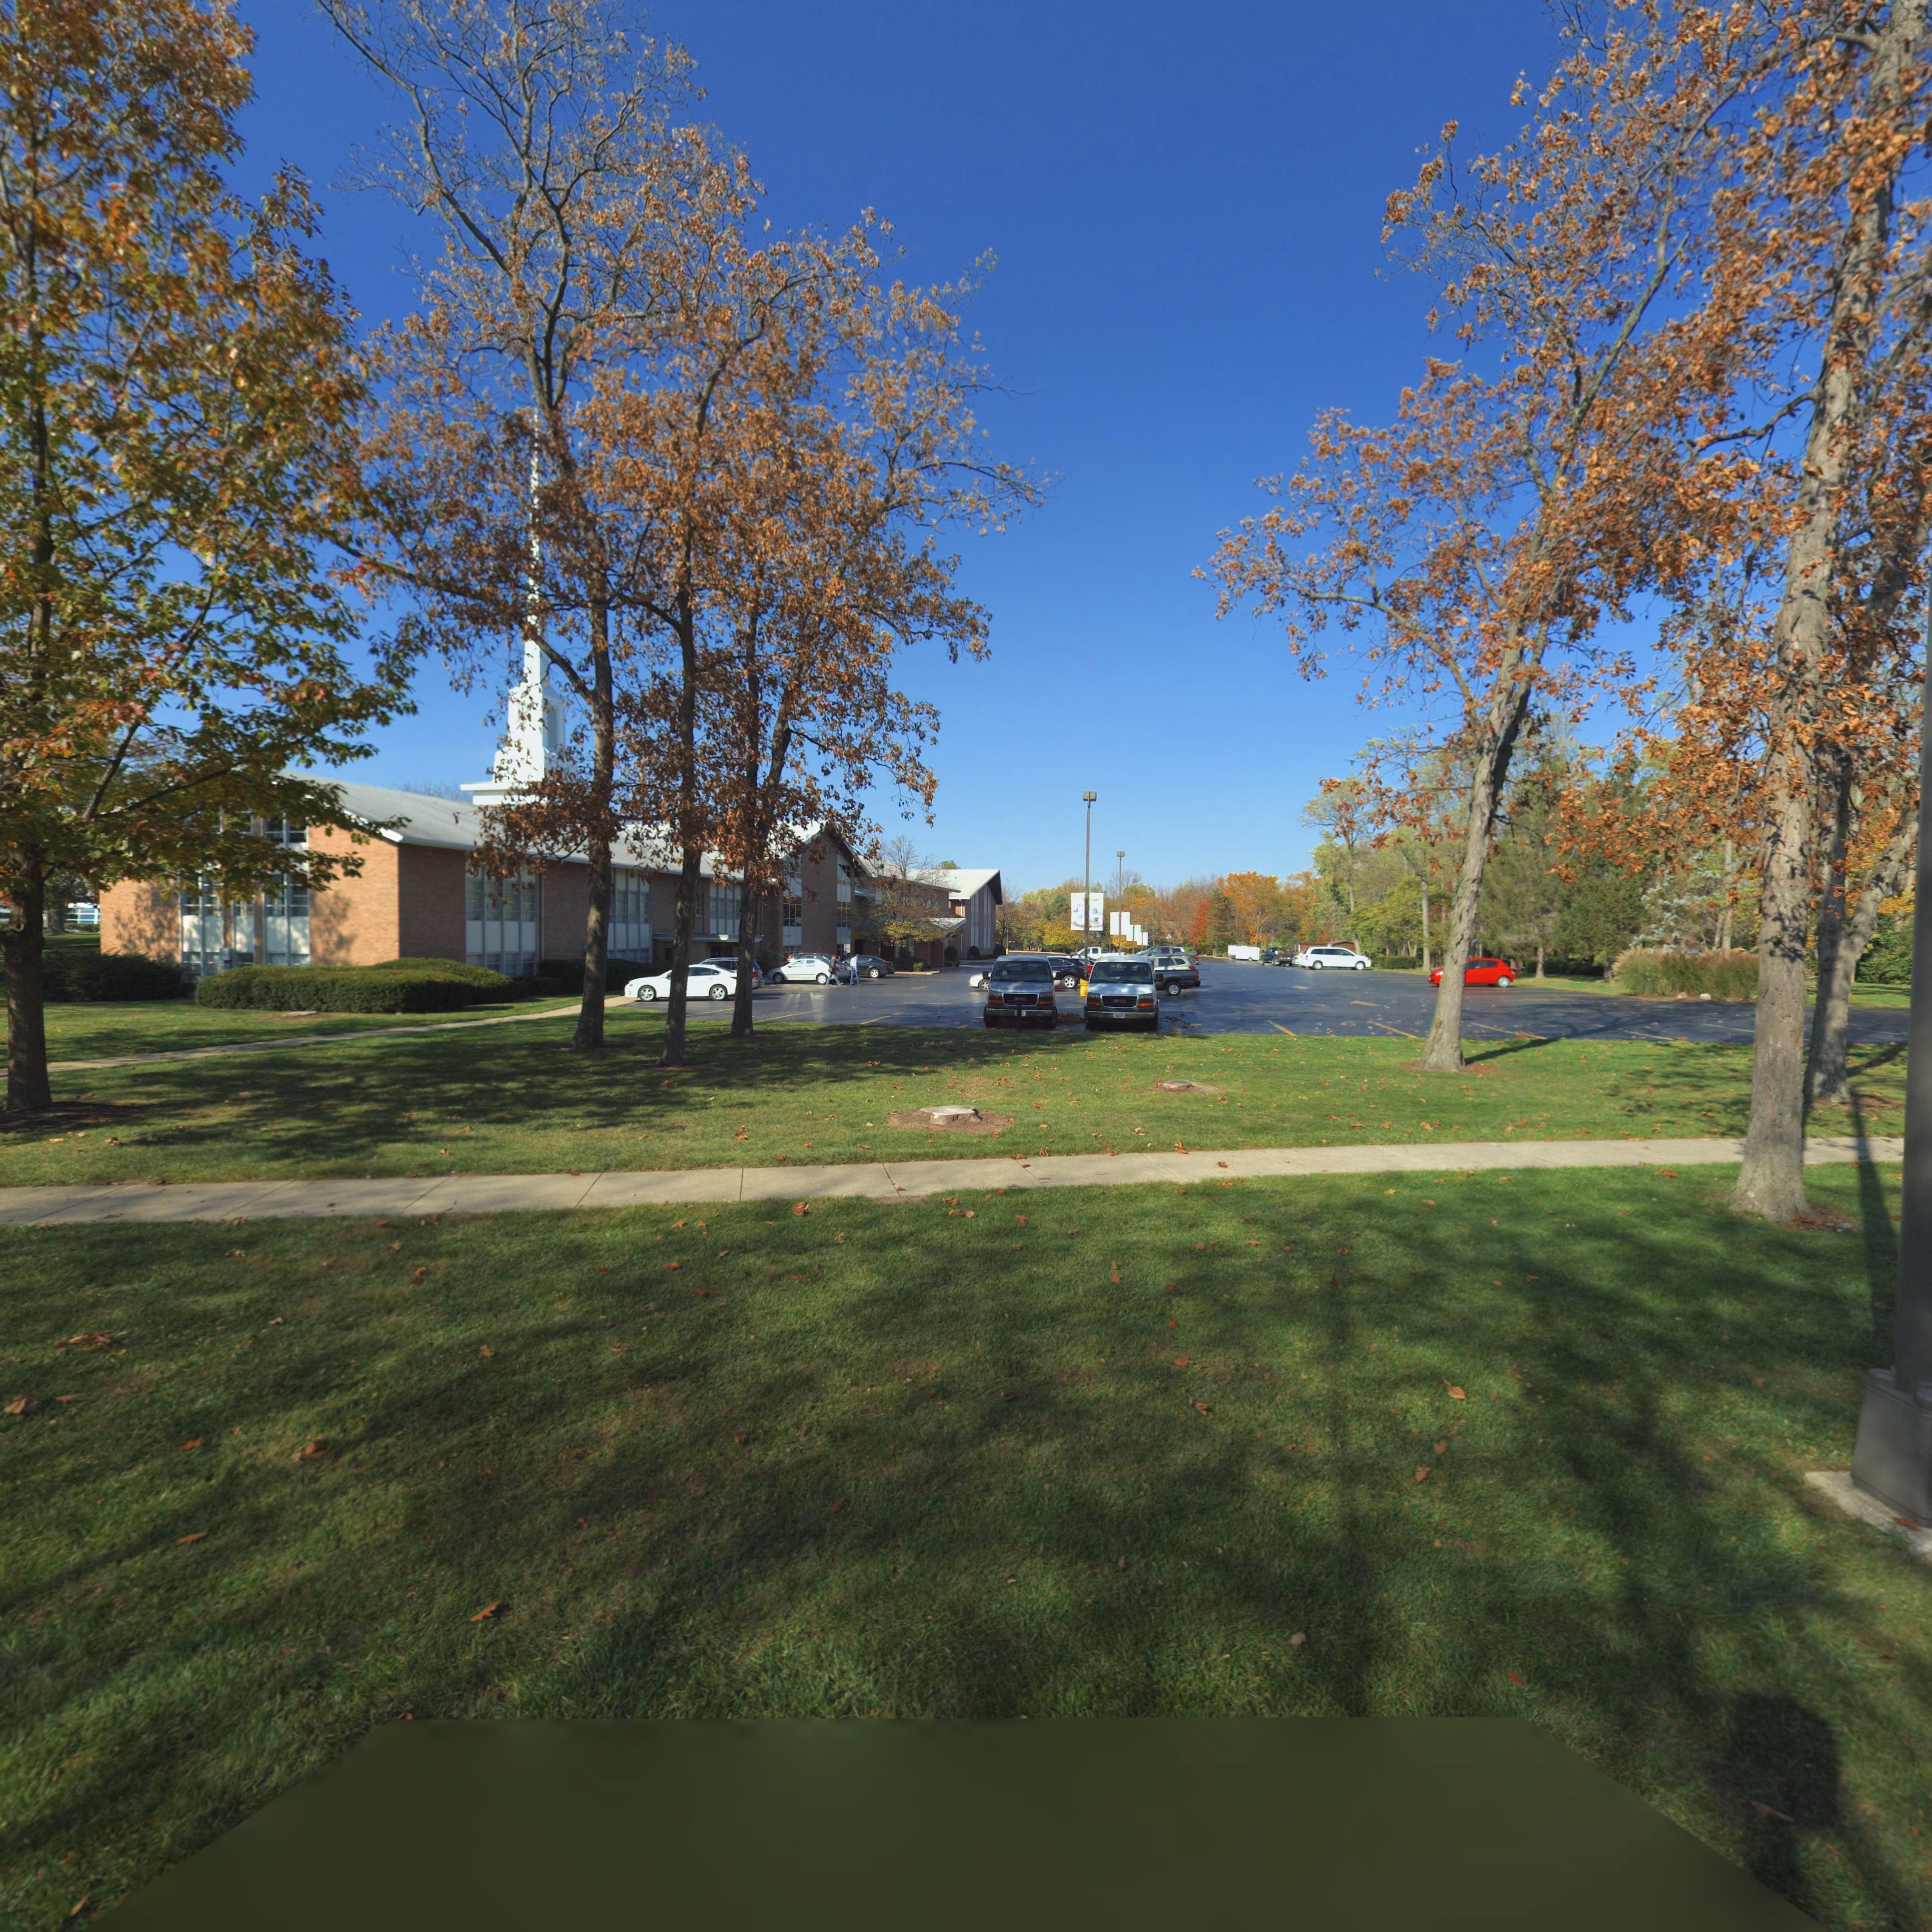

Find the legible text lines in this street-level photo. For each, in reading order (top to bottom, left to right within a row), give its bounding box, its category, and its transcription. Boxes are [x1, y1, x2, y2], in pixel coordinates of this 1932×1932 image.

[1014, 997, 1026, 1001] None: G*C
[1112, 999, 1126, 1003] None: GMC